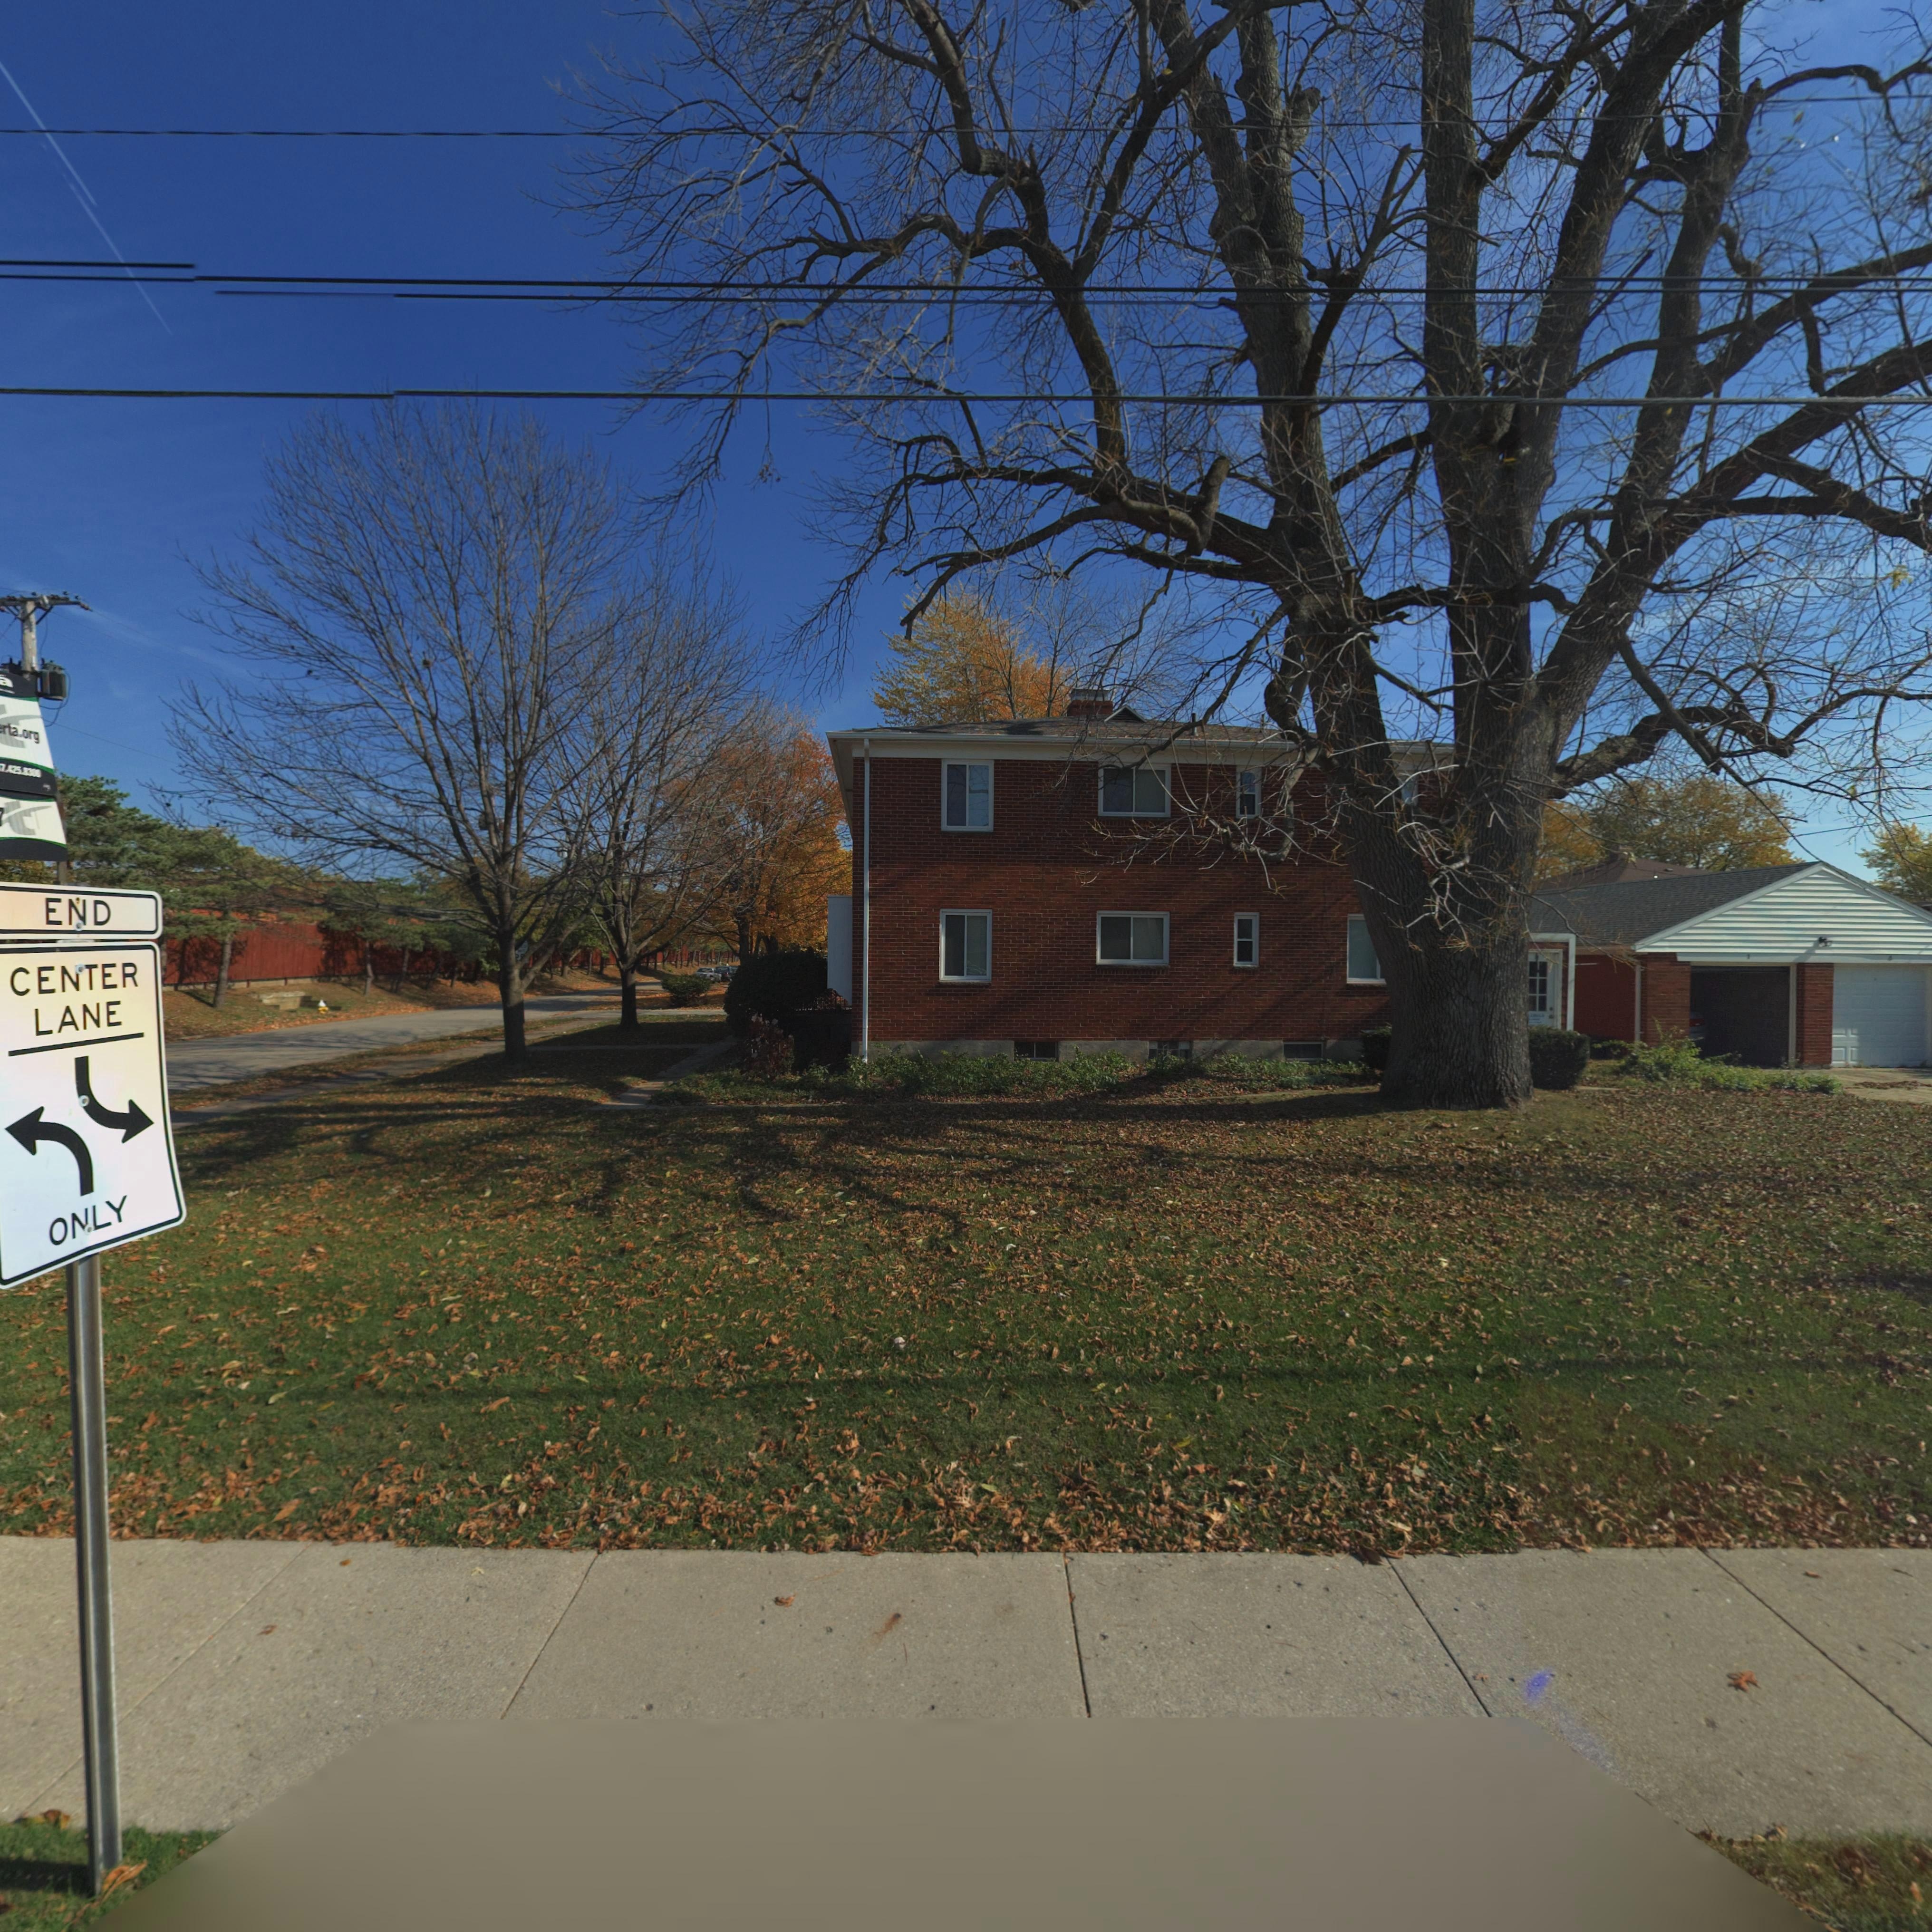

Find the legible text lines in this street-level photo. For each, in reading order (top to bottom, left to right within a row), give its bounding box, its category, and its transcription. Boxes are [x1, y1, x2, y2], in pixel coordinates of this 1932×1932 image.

[1, 722, 40, 745] None: rta.org
[0, 763, 42, 779] None: 7.*25.8300
[44, 897, 112, 927] None: END
[1746, 953, 1751, 960] StreetNumber: 1
[1887, 955, 1893, 961] StreetNumber: 4
[9, 961, 139, 997] None: CENTER
[33, 999, 123, 1037] None: LANE
[48, 1194, 128, 1249] None: ONLY